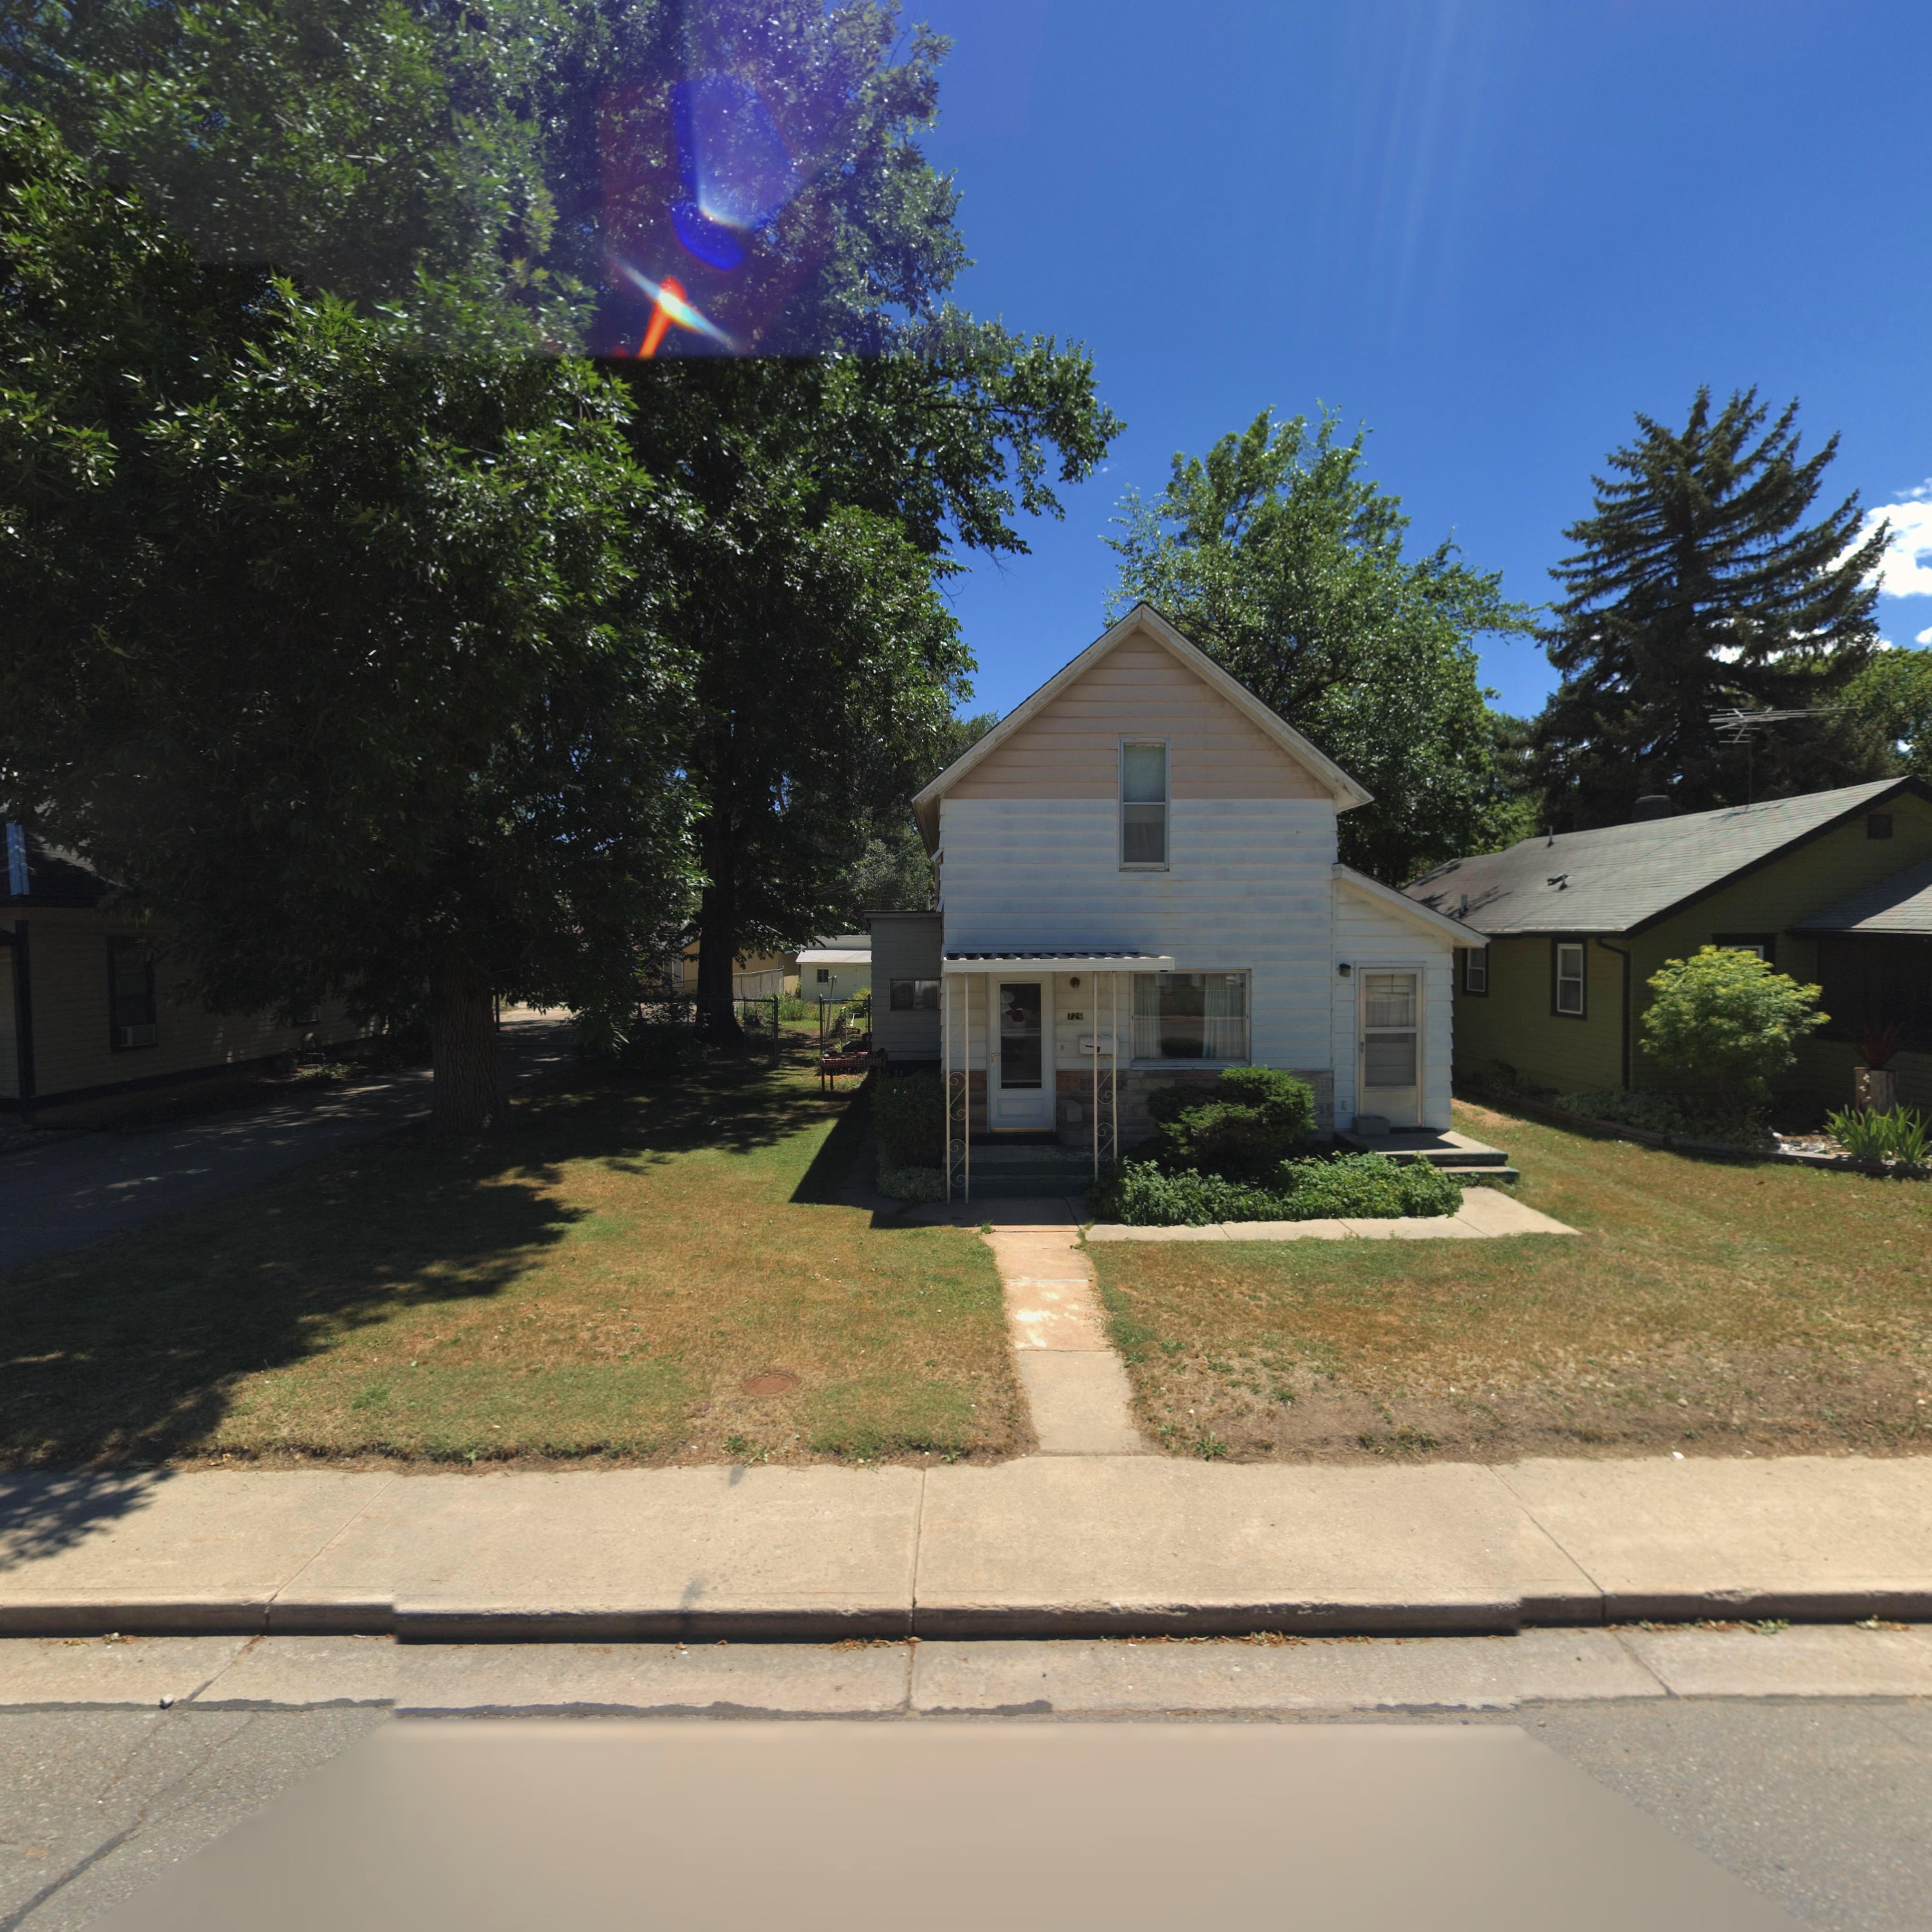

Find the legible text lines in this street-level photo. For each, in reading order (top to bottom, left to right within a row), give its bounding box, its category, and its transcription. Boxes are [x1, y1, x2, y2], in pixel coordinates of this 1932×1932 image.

[1068, 1013, 1082, 1020] StreetNumber: 729